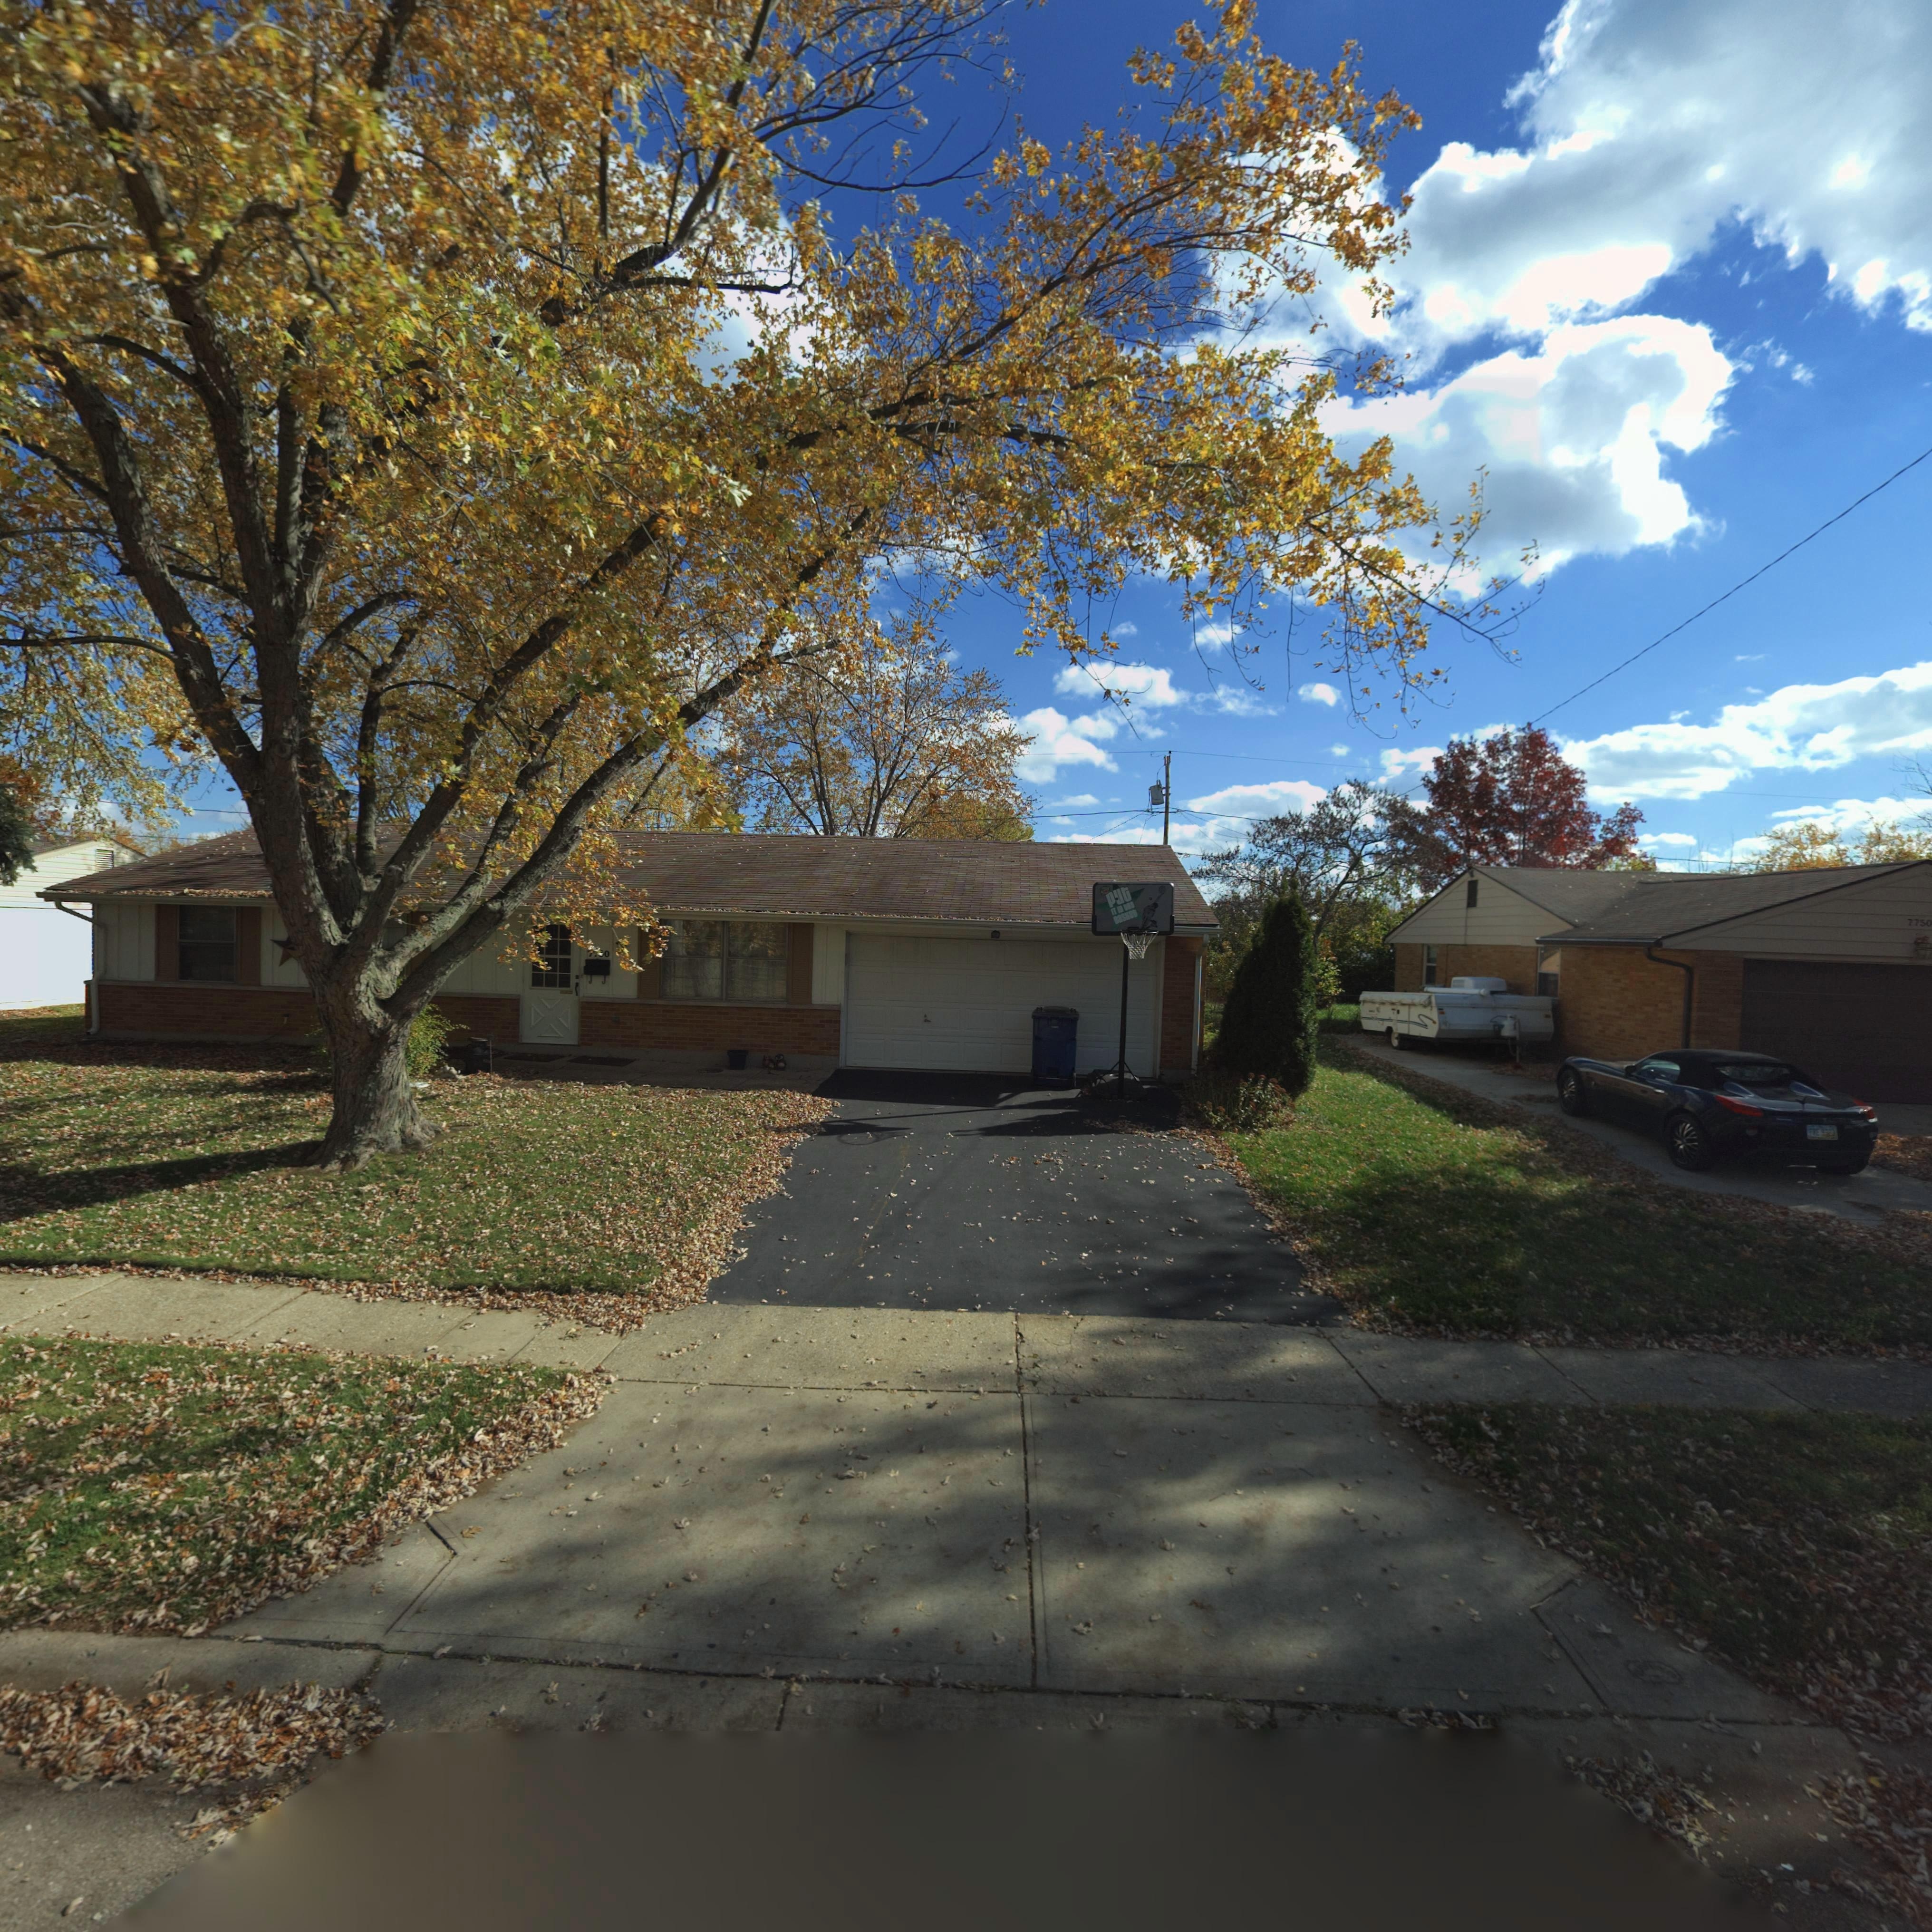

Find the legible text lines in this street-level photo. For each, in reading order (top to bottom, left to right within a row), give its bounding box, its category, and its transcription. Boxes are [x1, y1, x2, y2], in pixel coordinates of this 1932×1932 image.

[604, 950, 610, 958] StreetNumber: 0